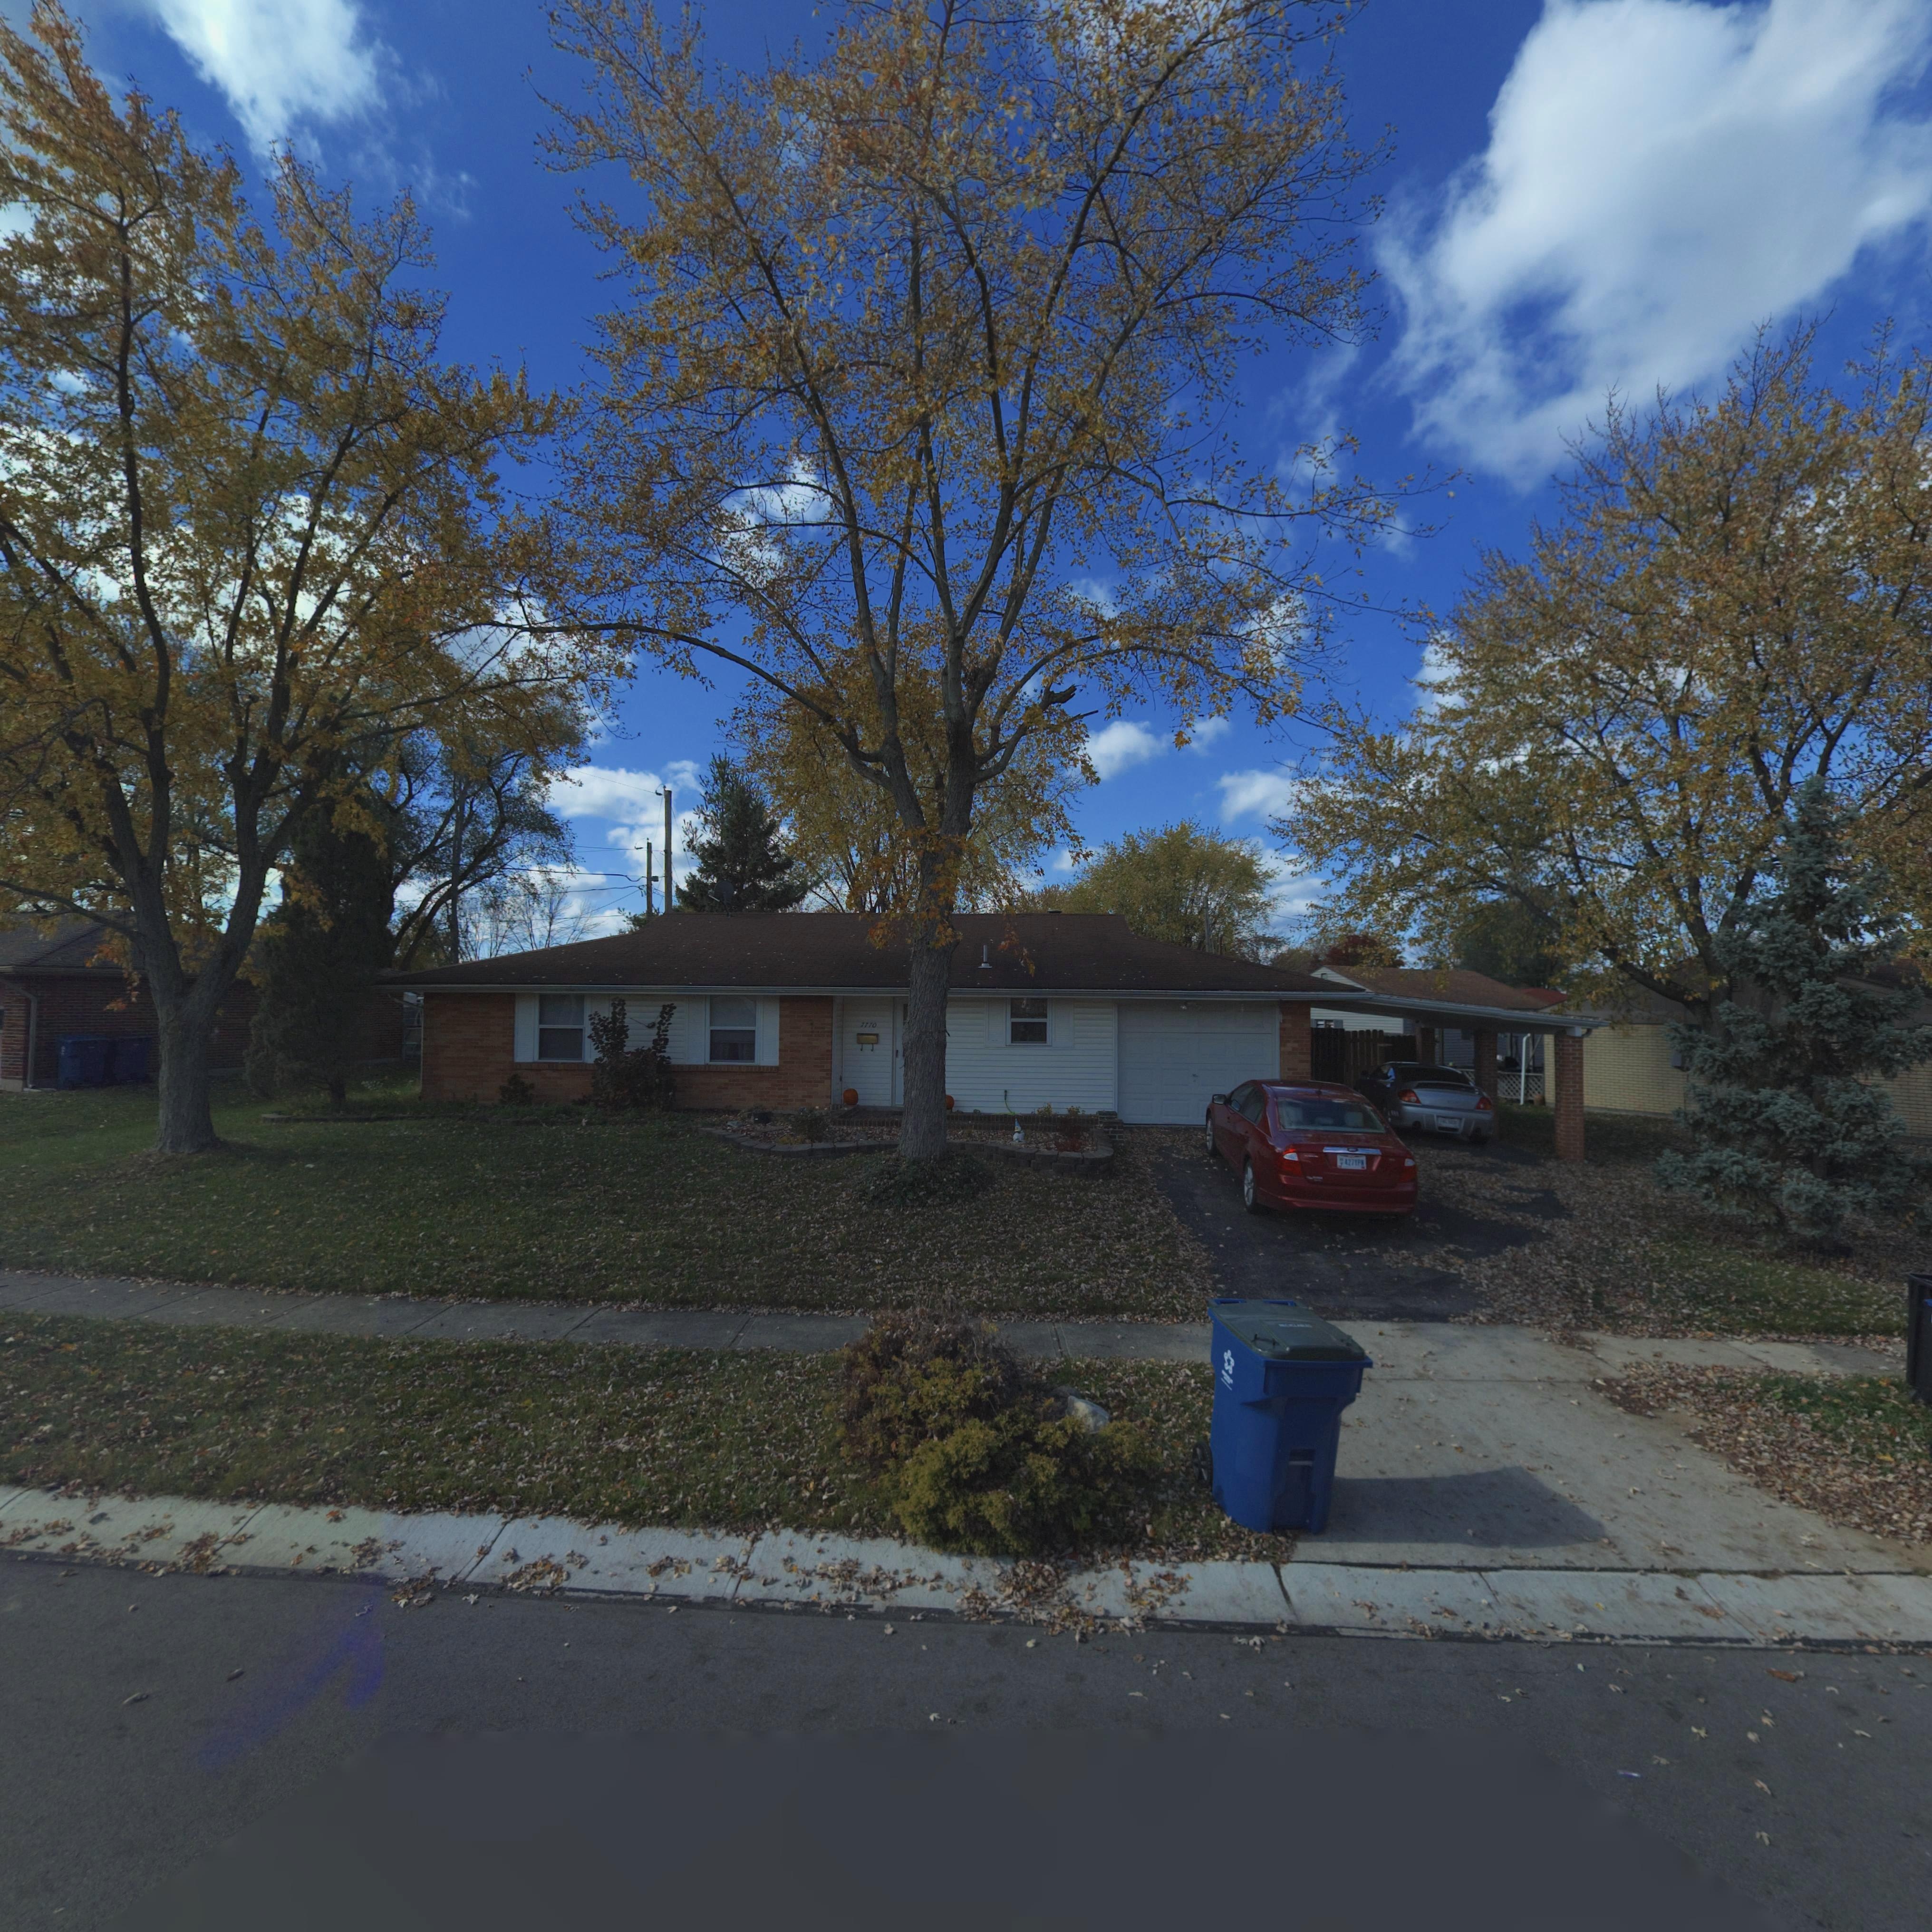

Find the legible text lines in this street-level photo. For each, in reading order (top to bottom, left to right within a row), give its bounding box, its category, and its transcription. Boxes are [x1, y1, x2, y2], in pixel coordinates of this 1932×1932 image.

[860, 1022, 877, 1028] StreetNumber: 7770